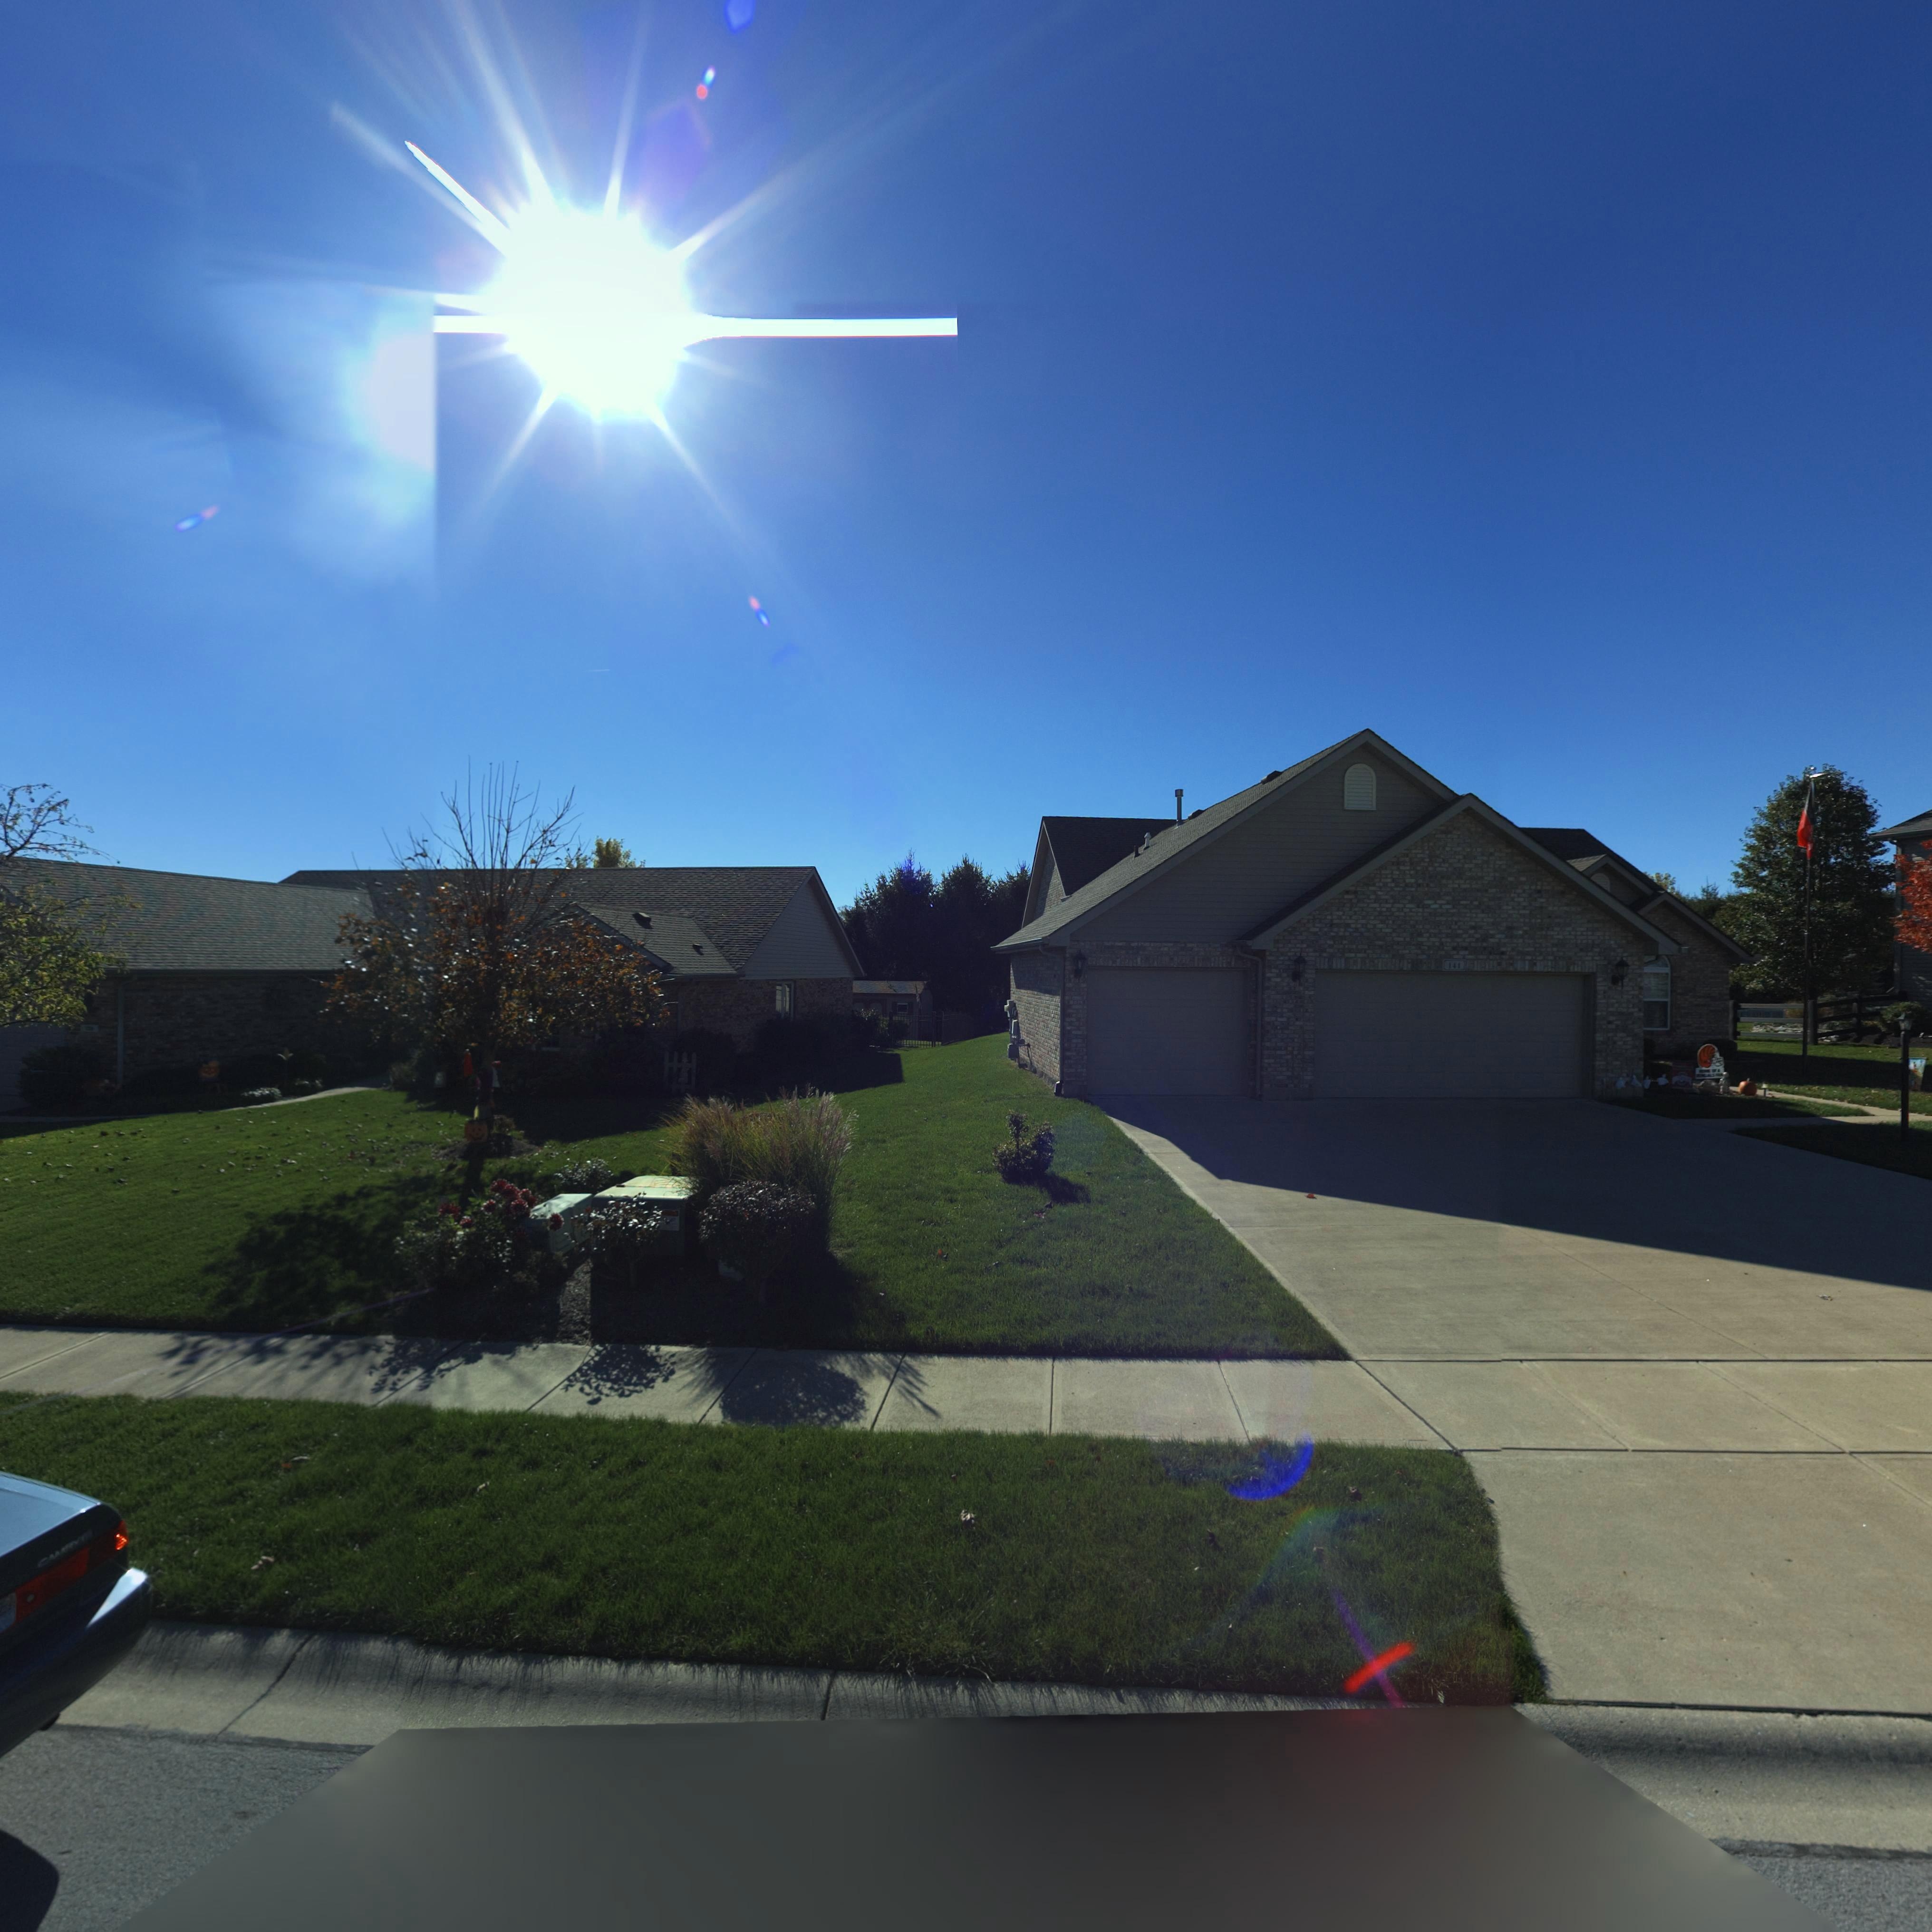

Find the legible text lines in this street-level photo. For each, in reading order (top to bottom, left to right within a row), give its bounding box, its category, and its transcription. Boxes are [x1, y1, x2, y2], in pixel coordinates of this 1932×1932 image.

[1448, 962, 1461, 969] StreetNumber: 141